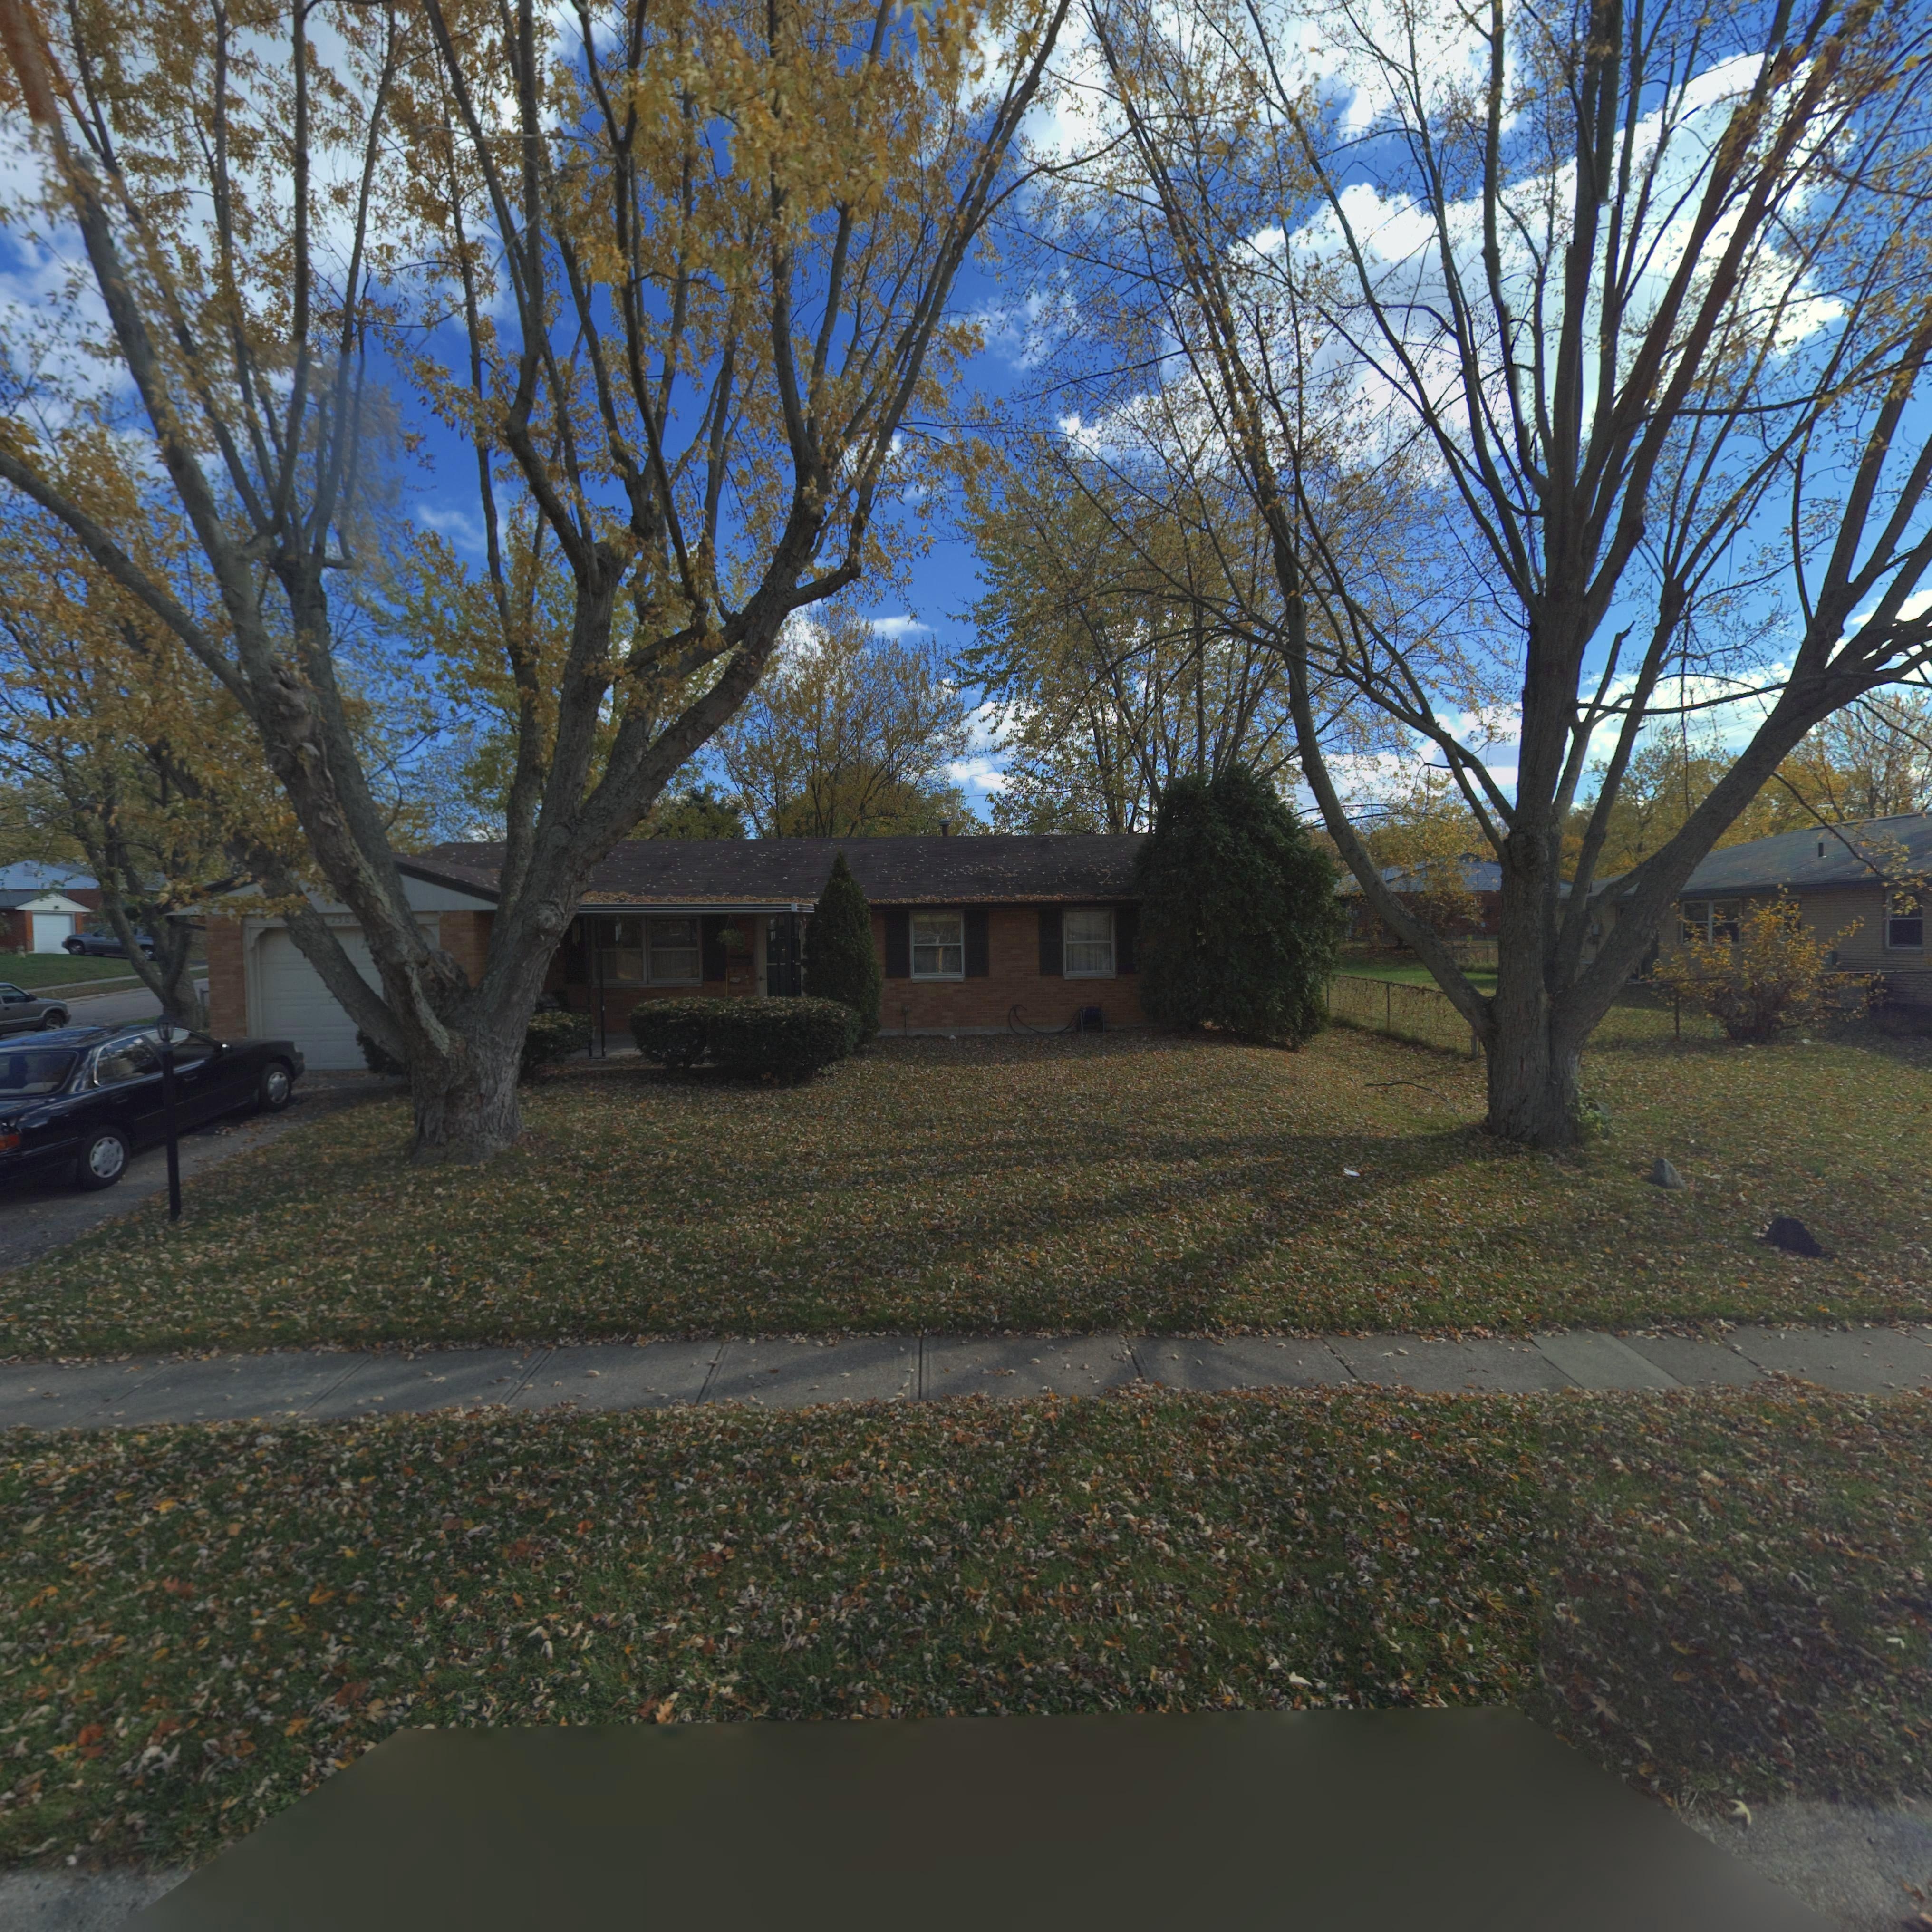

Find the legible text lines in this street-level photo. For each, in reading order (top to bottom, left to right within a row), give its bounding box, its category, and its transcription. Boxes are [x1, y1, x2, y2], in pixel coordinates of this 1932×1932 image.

[330, 915, 351, 924] StreetNumber: 750